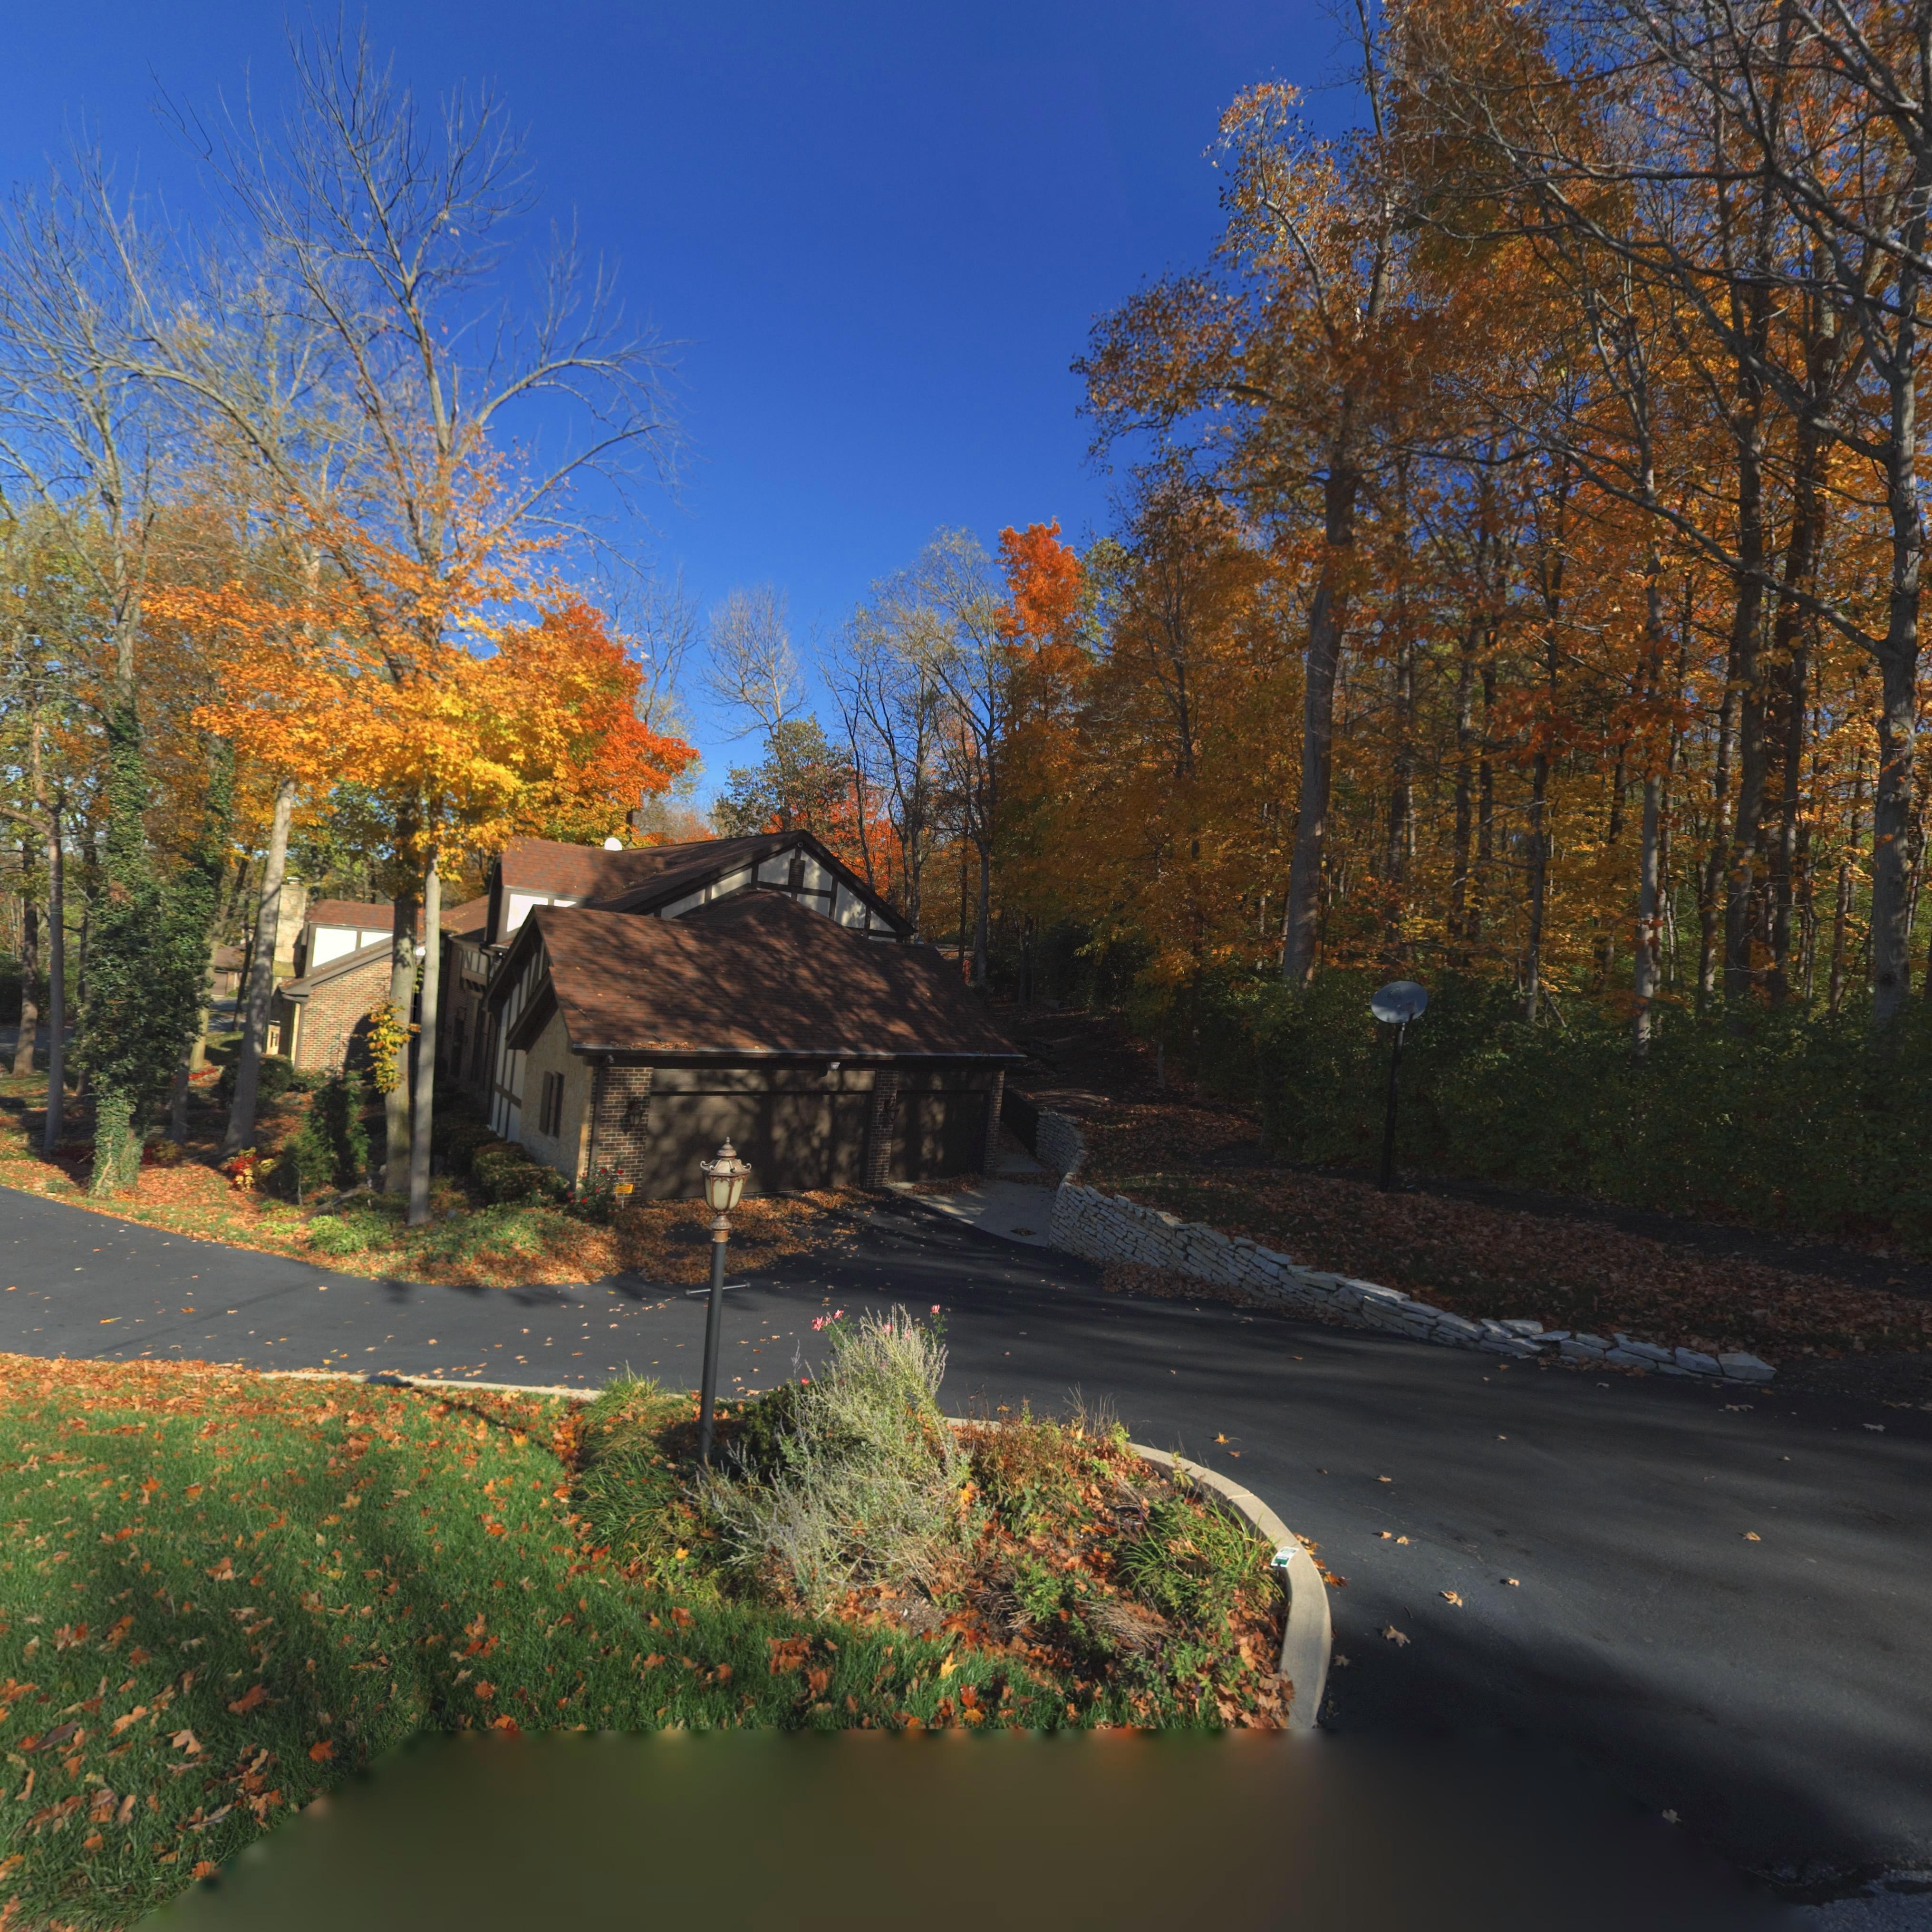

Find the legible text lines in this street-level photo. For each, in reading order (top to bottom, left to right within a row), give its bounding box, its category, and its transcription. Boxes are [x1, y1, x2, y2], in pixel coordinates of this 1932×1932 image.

[777, 1077, 783, 1084] StreetNumber: 5